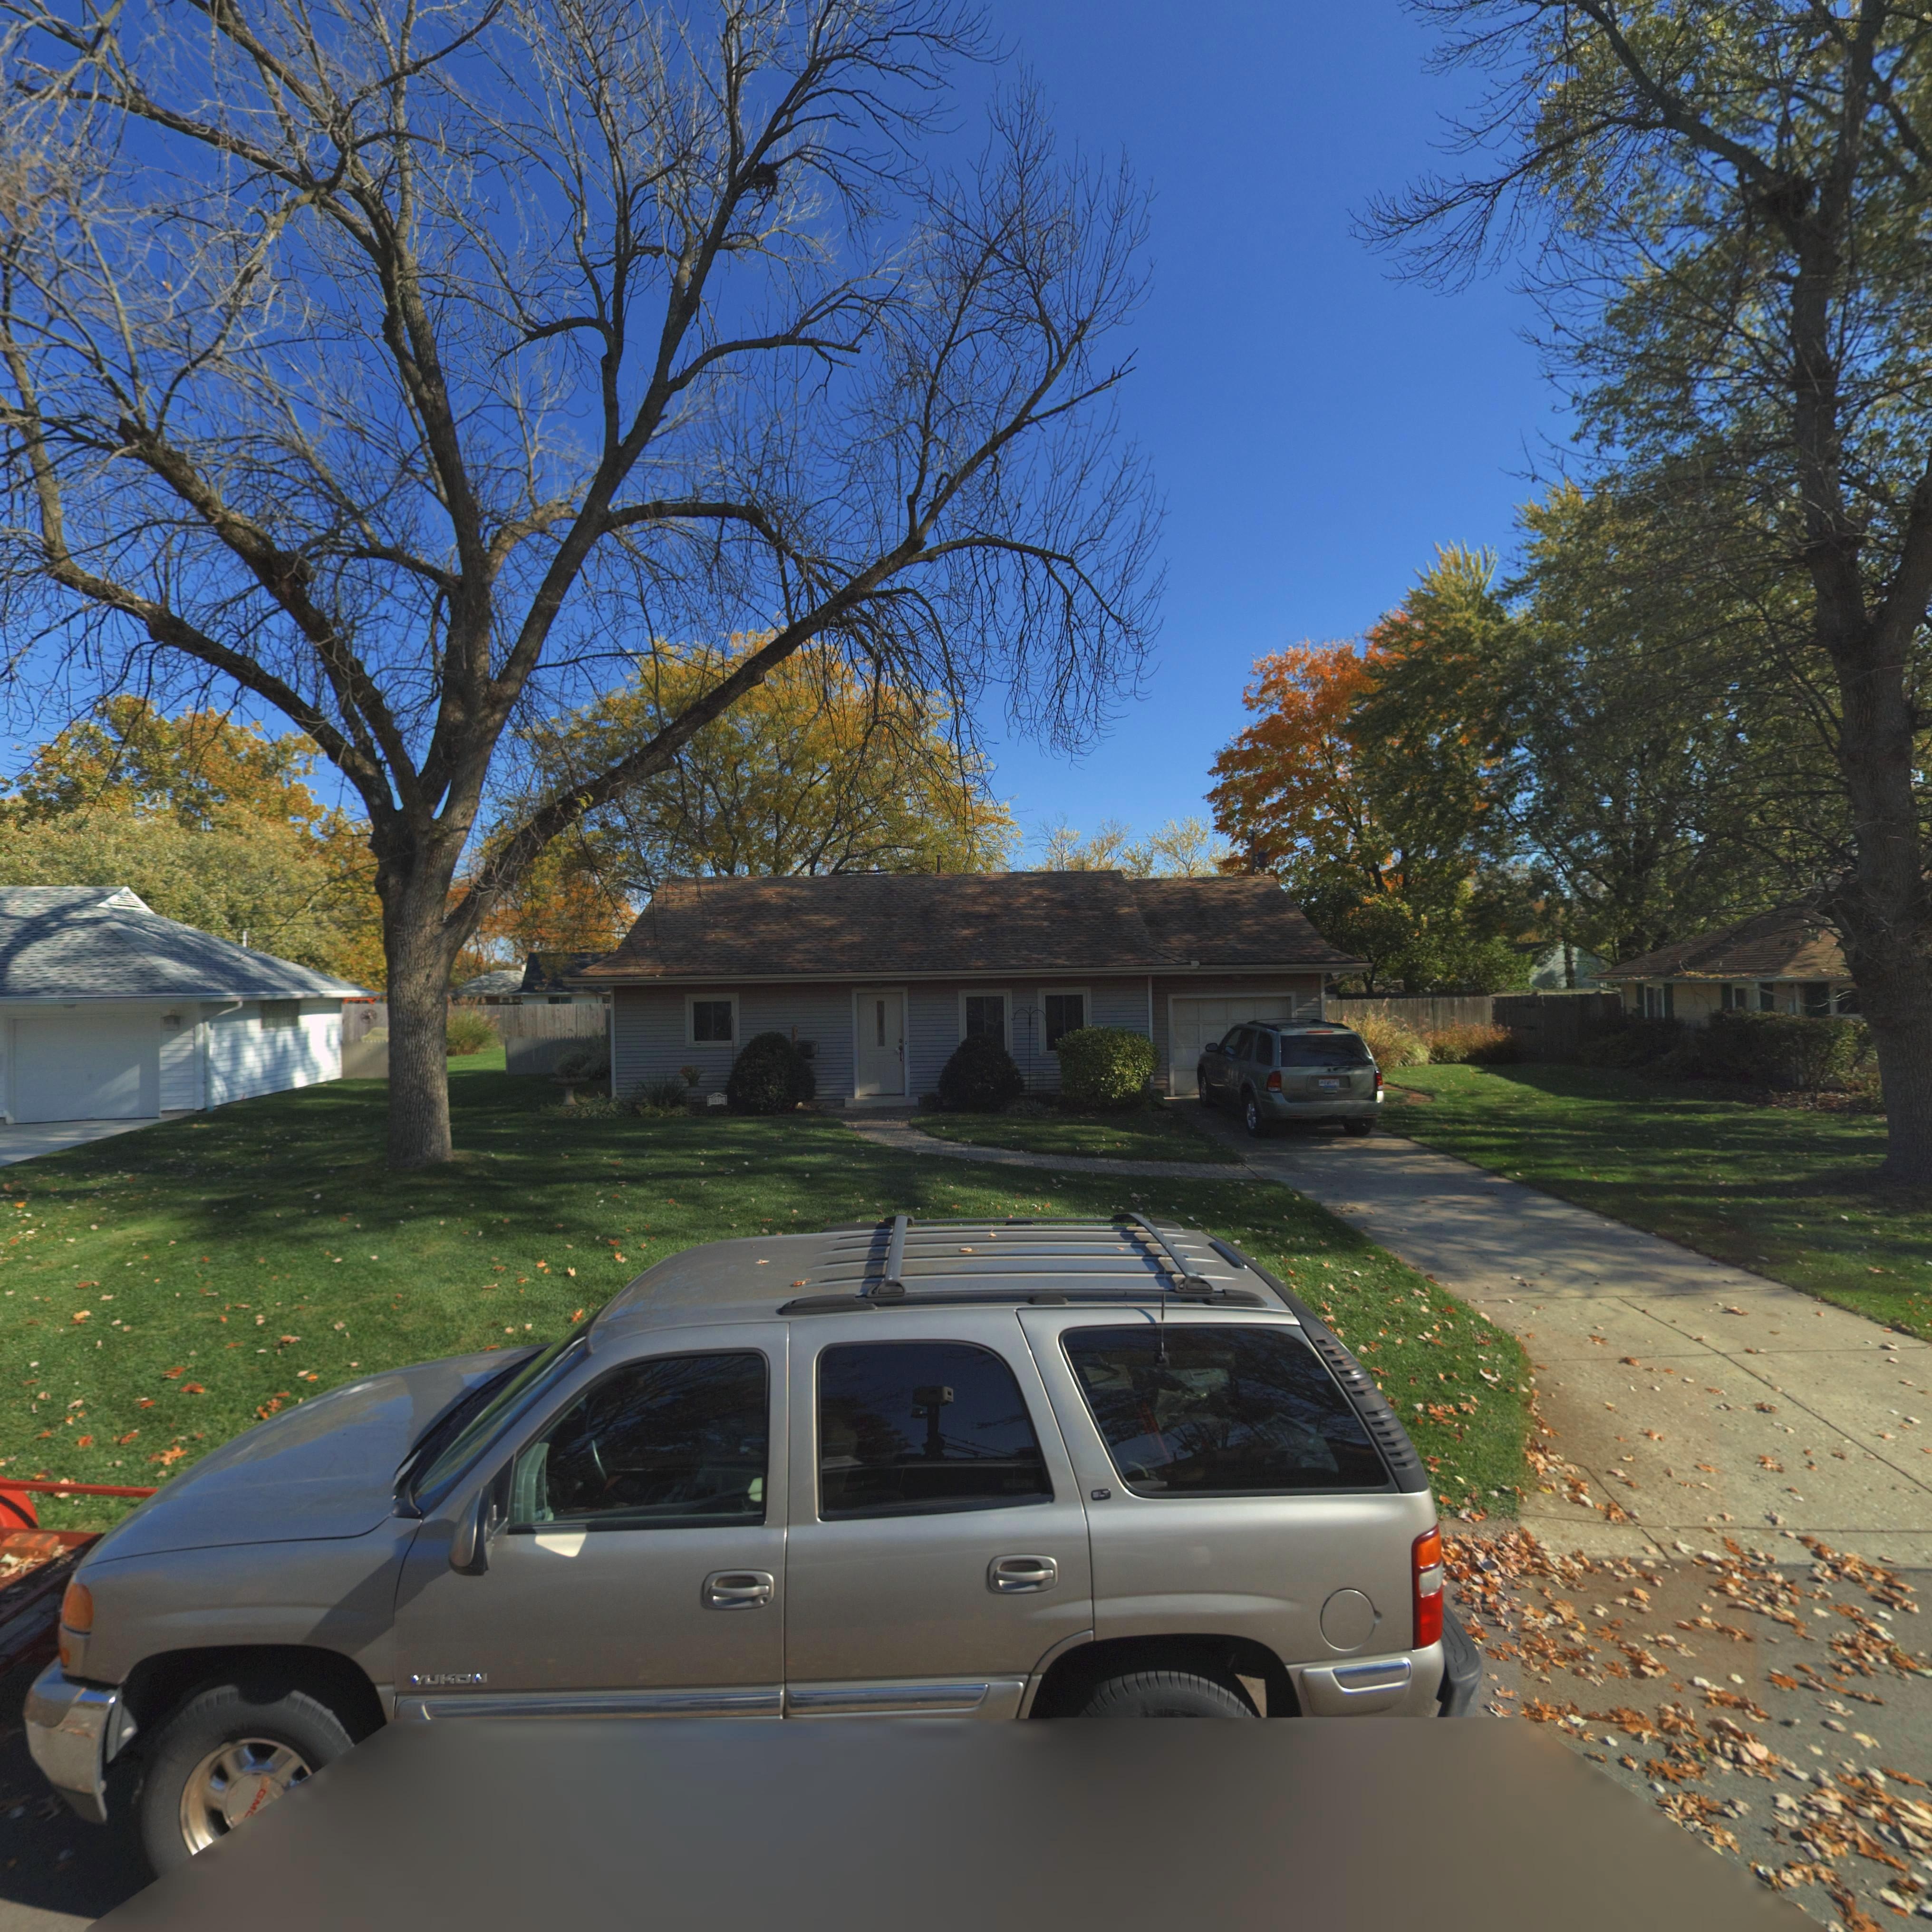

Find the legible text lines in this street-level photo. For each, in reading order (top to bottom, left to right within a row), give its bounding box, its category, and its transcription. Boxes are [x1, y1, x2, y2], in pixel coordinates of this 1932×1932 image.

[407, 1671, 489, 1687] None: YUKON